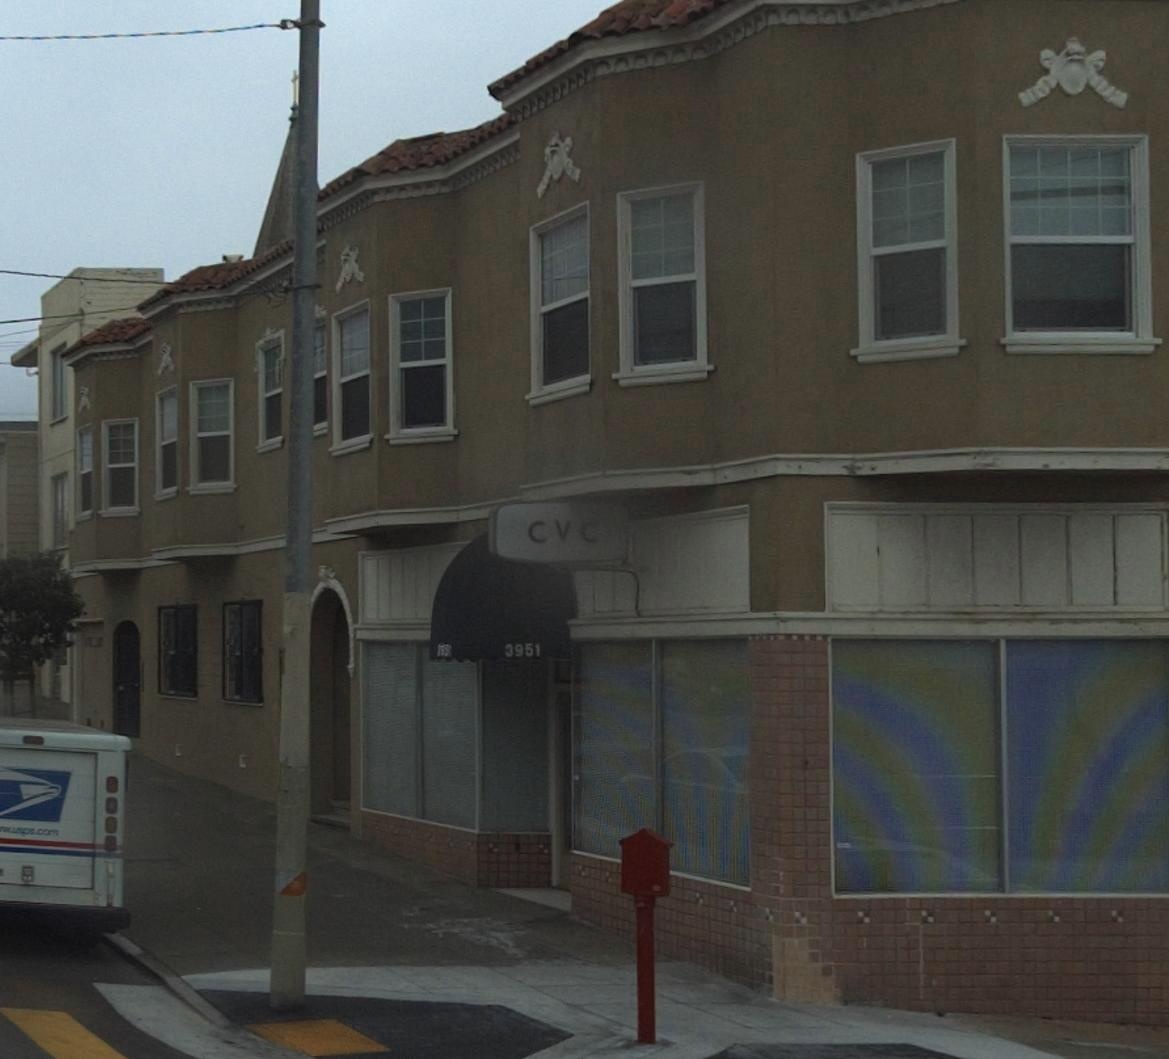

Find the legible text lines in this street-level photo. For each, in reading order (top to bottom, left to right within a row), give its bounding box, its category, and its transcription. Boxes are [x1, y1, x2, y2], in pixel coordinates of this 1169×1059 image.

[526, 515, 601, 546] BusinessName: CVC
[433, 641, 455, 661] StreetNumber: ***1
[502, 640, 542, 659] StreetNumber: 3951
[35, 825, 61, 838] None: com